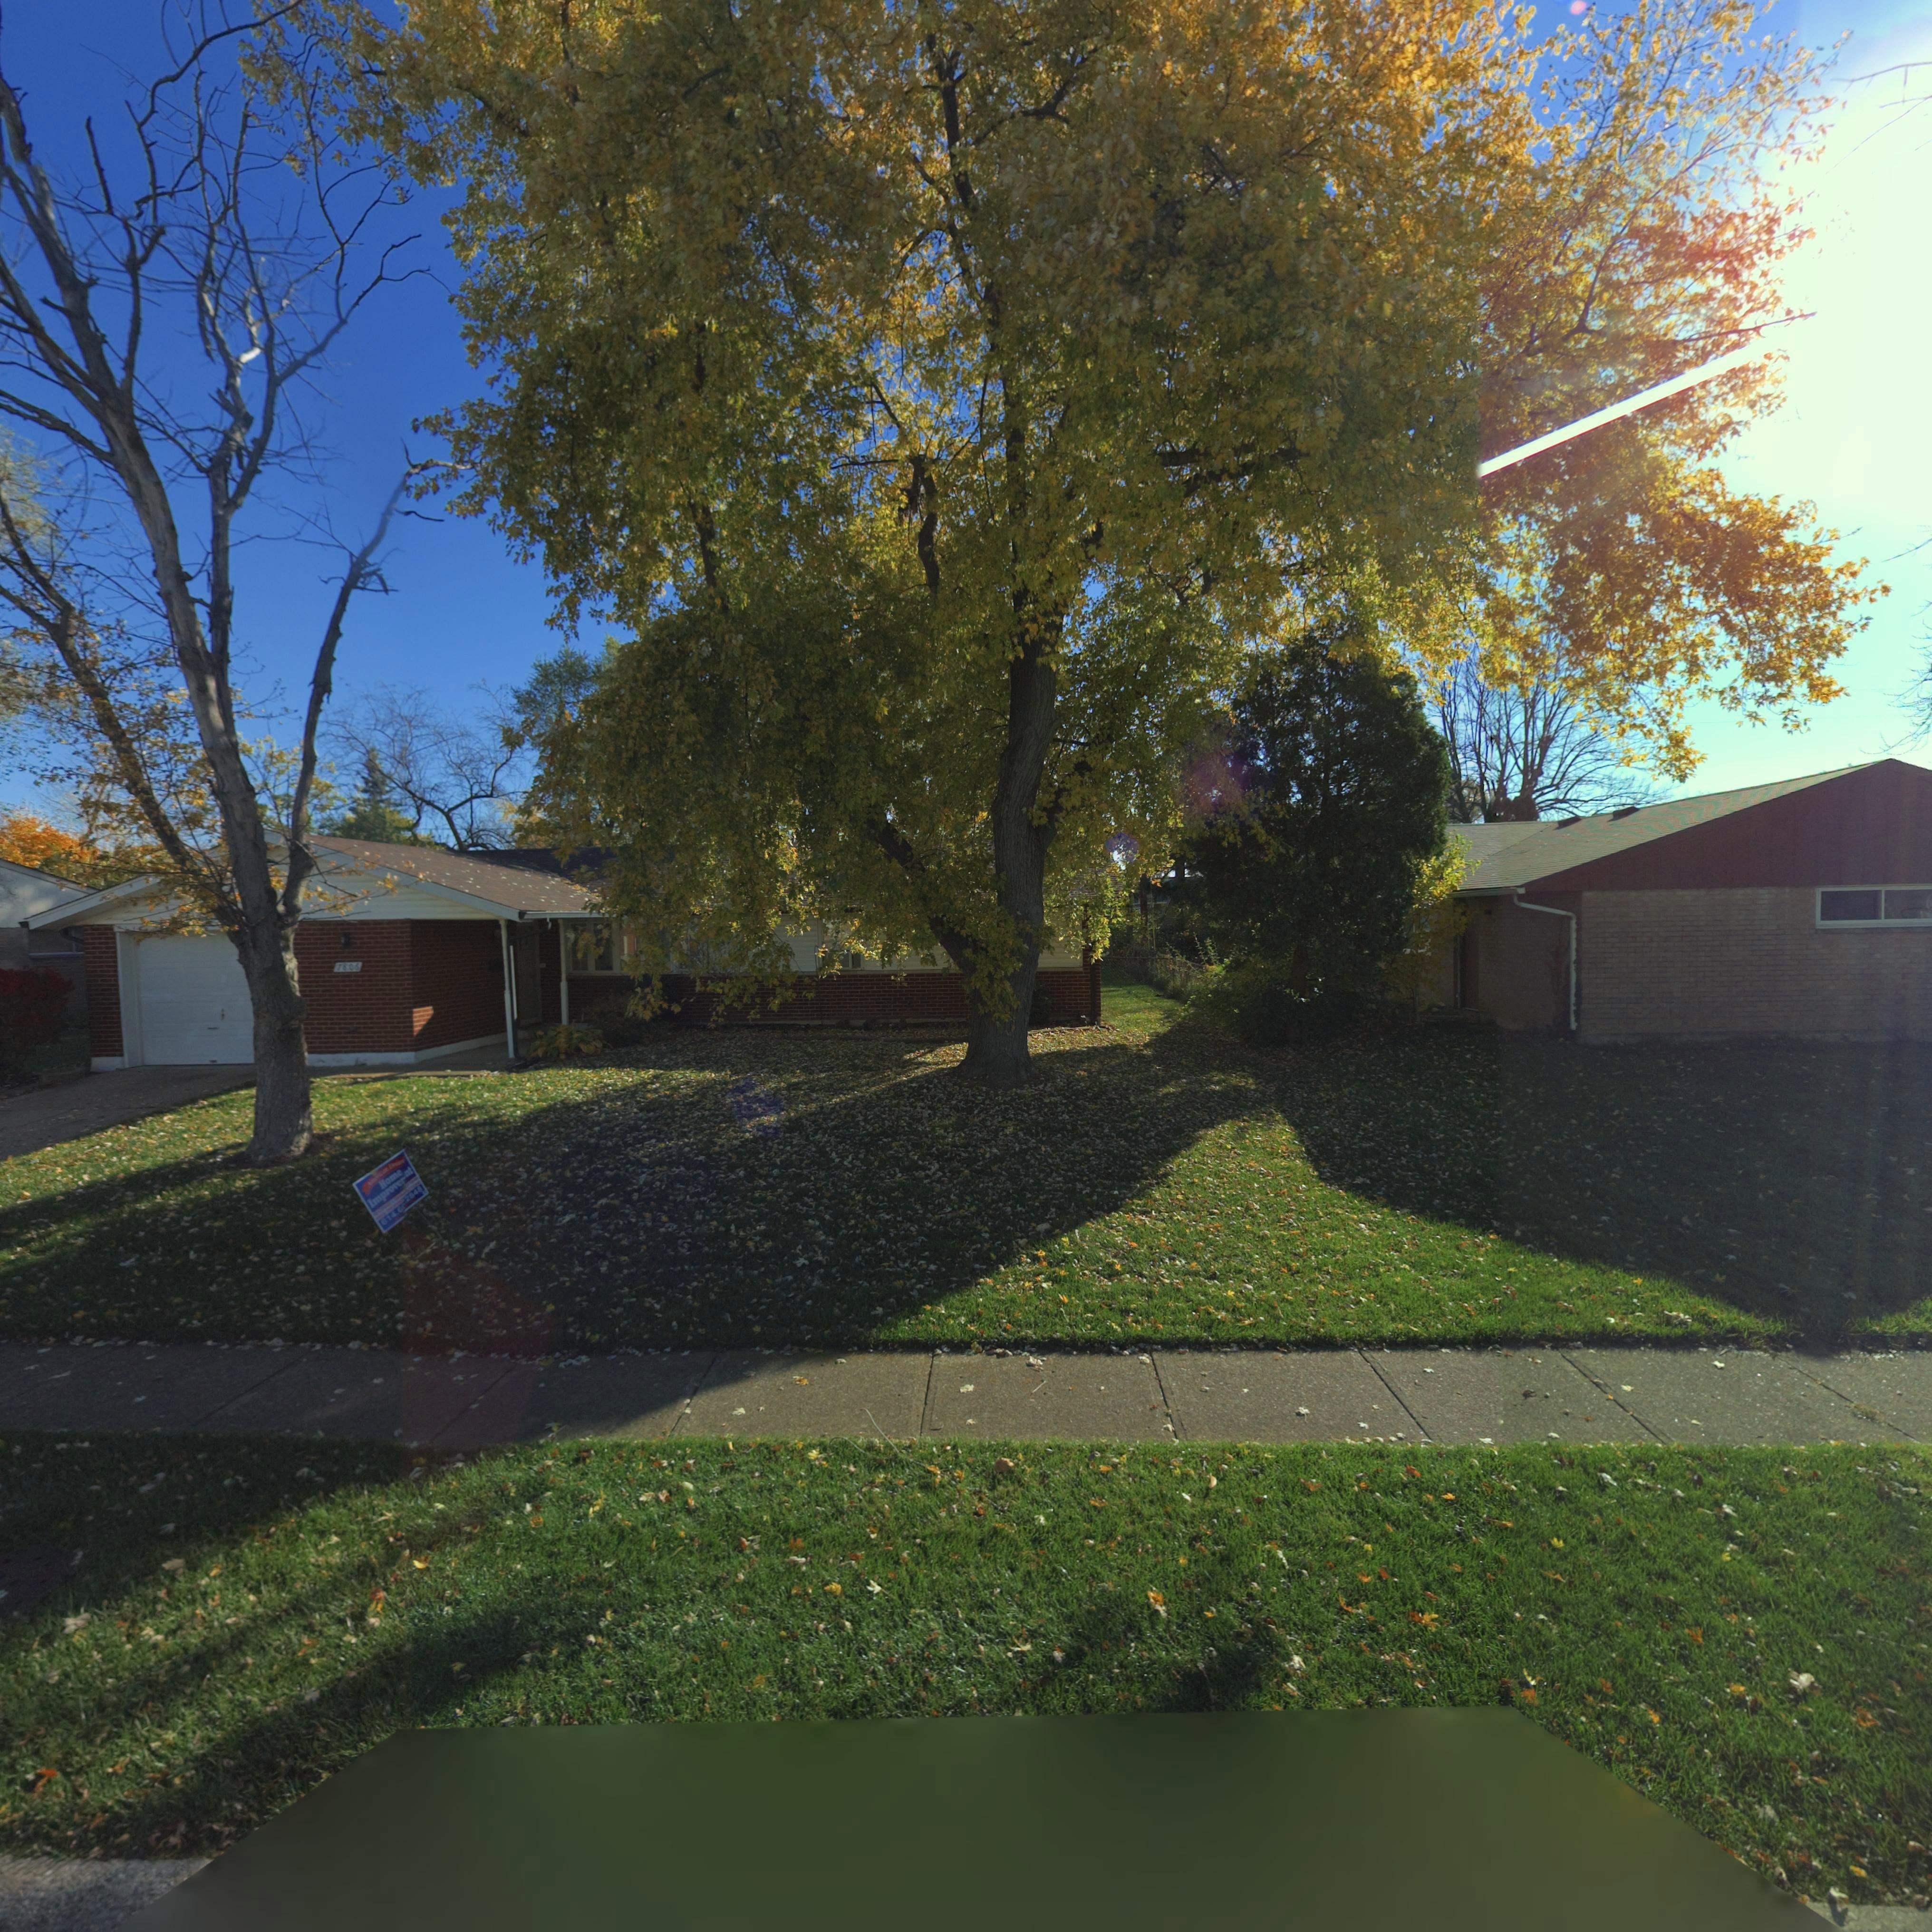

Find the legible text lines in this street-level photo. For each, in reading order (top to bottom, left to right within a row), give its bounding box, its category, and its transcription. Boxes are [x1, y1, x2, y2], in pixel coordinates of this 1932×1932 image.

[335, 962, 361, 971] StreetNumber: 7806